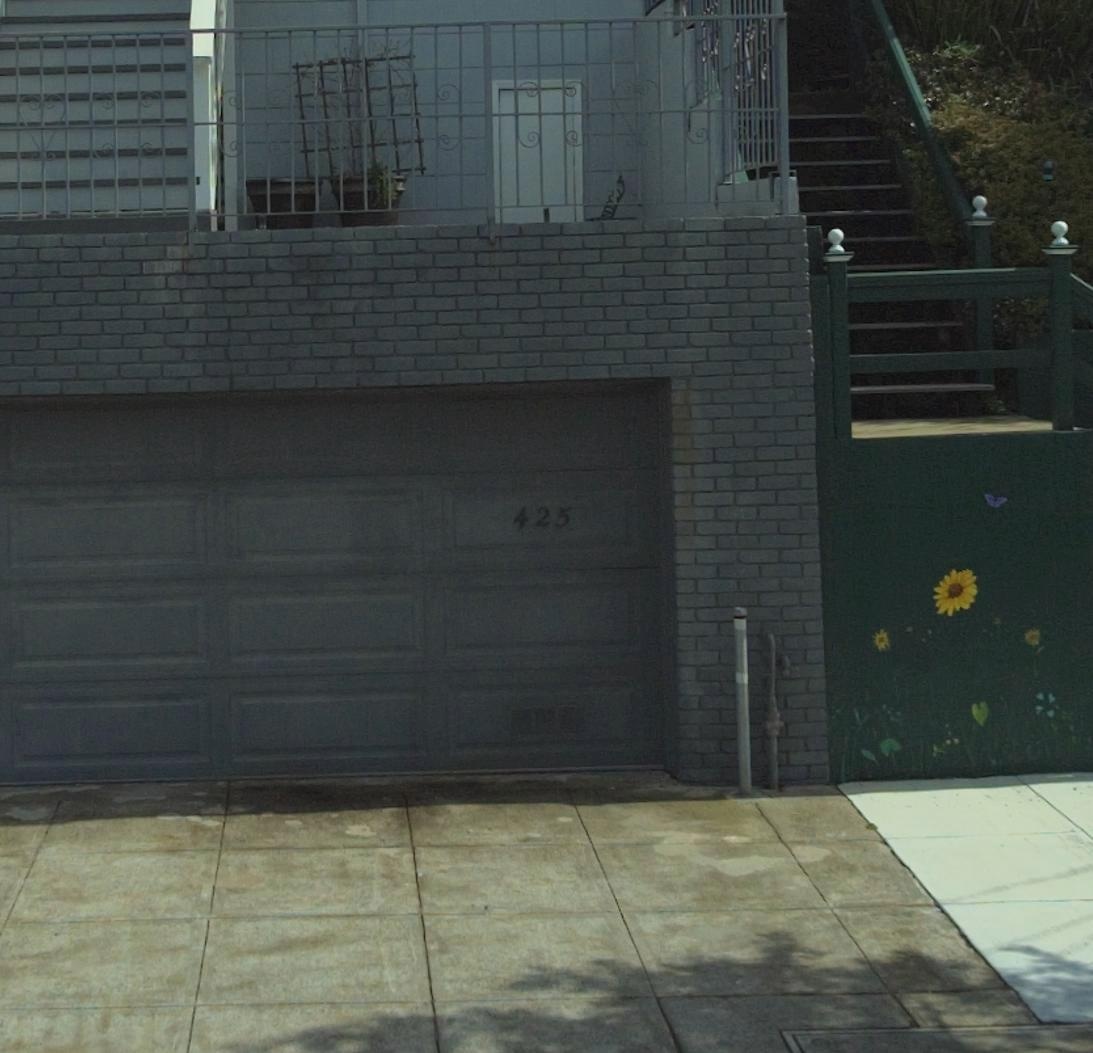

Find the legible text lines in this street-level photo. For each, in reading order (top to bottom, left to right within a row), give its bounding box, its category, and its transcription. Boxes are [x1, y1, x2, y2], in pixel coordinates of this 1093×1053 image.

[510, 503, 575, 531] StreetNumber: 425